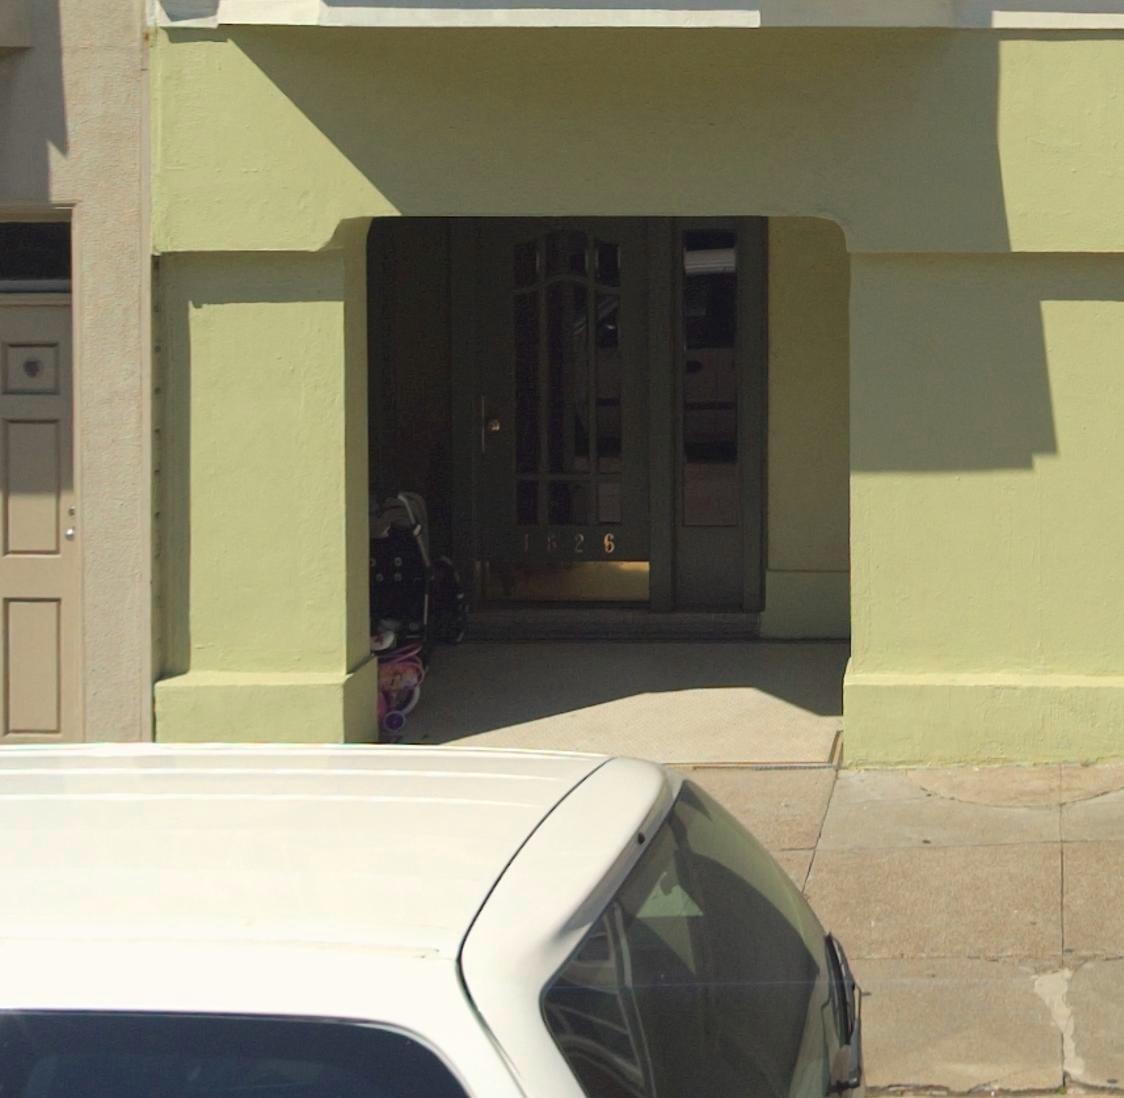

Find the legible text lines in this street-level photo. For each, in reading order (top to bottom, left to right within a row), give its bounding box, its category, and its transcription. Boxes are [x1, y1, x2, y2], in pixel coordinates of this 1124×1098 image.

[520, 531, 616, 554] StreetNumber: 1526